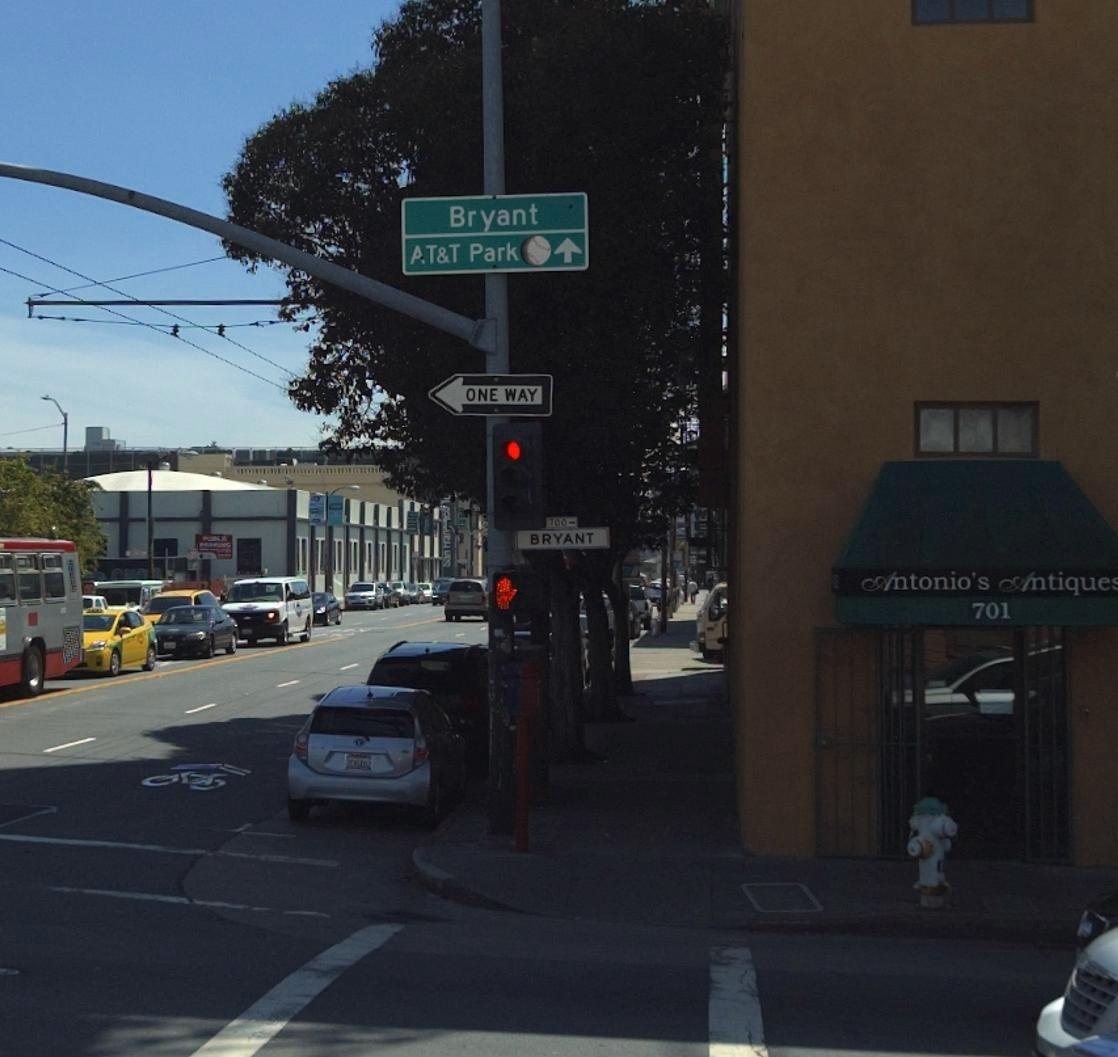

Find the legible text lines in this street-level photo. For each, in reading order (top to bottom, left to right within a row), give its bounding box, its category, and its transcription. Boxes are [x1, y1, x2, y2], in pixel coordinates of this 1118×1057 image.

[446, 202, 540, 235] None: Bryant
[408, 240, 520, 266] None: AT&T PARK
[465, 386, 540, 402] None: ONE WAY
[548, 518, 576, 527] StreetNumberRange: 700->
[529, 531, 594, 547] StreetName: BRYANT
[859, 568, 1112, 595] BusinessName: Antonio's Antique
[968, 601, 1012, 621] StreetNumber: 701